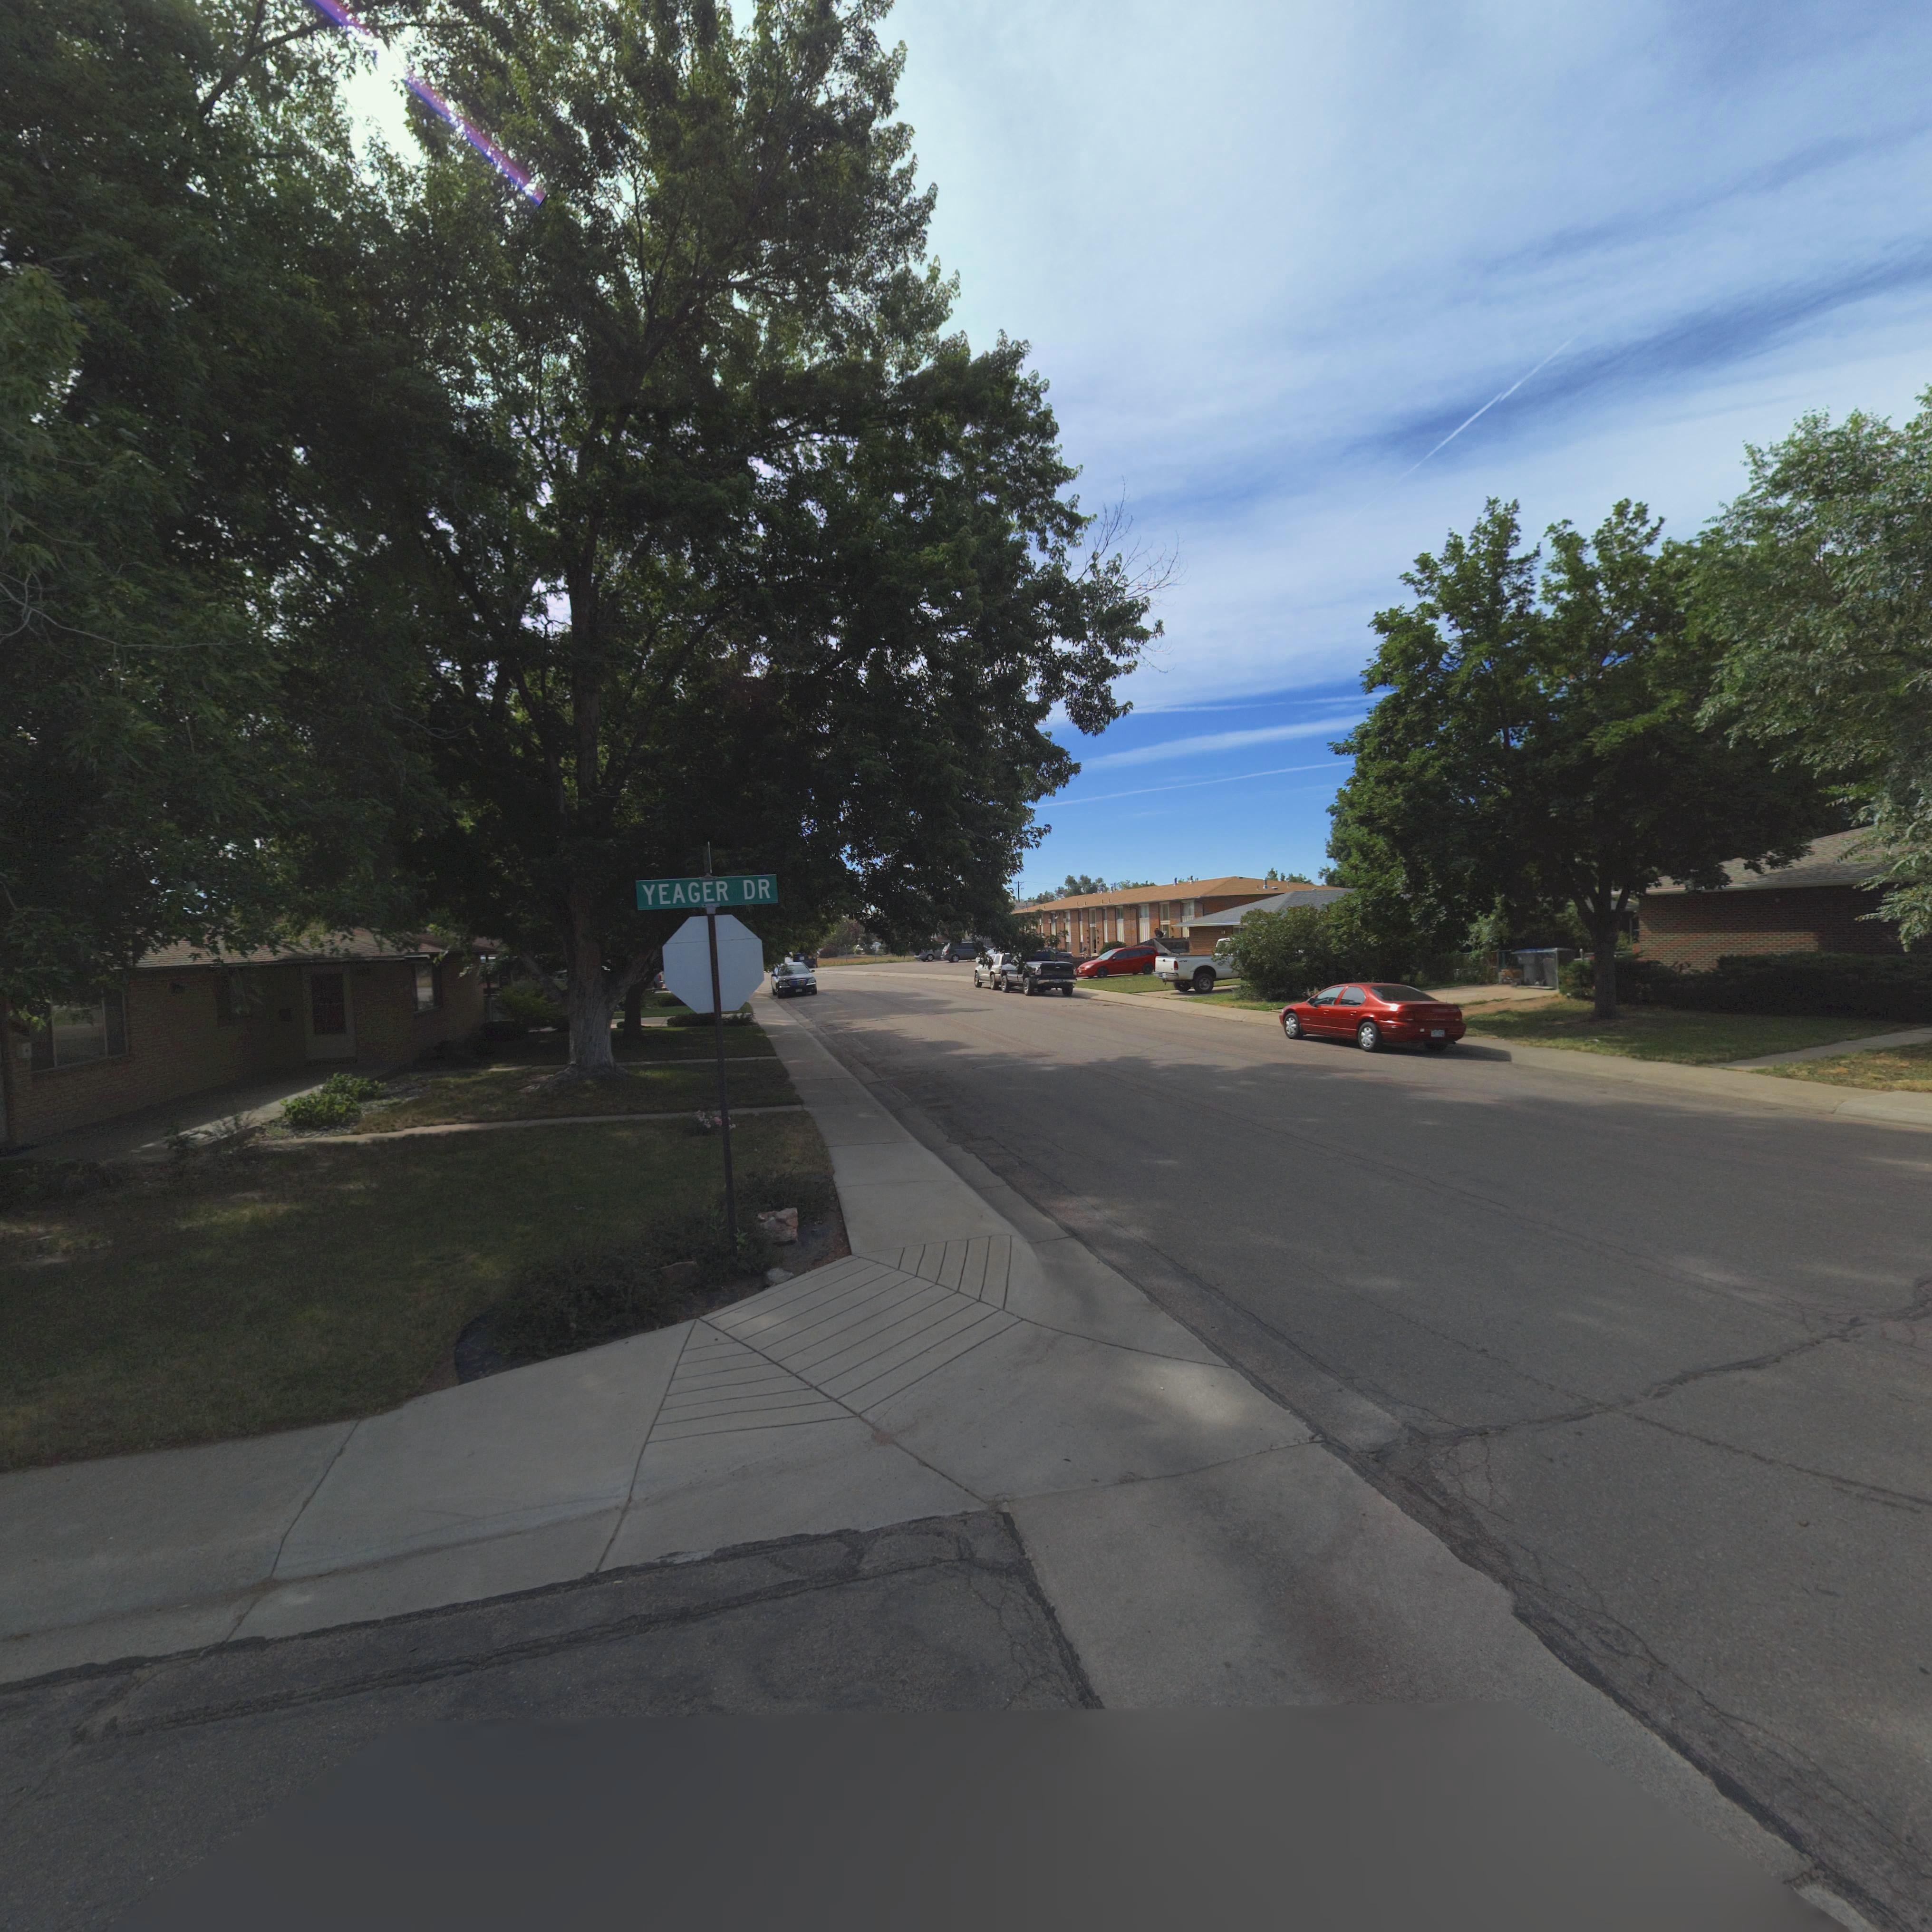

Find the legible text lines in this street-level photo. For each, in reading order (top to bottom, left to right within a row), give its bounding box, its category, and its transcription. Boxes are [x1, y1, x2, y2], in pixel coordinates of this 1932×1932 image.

[641, 878, 771, 906] StreetName: YEAGER DR